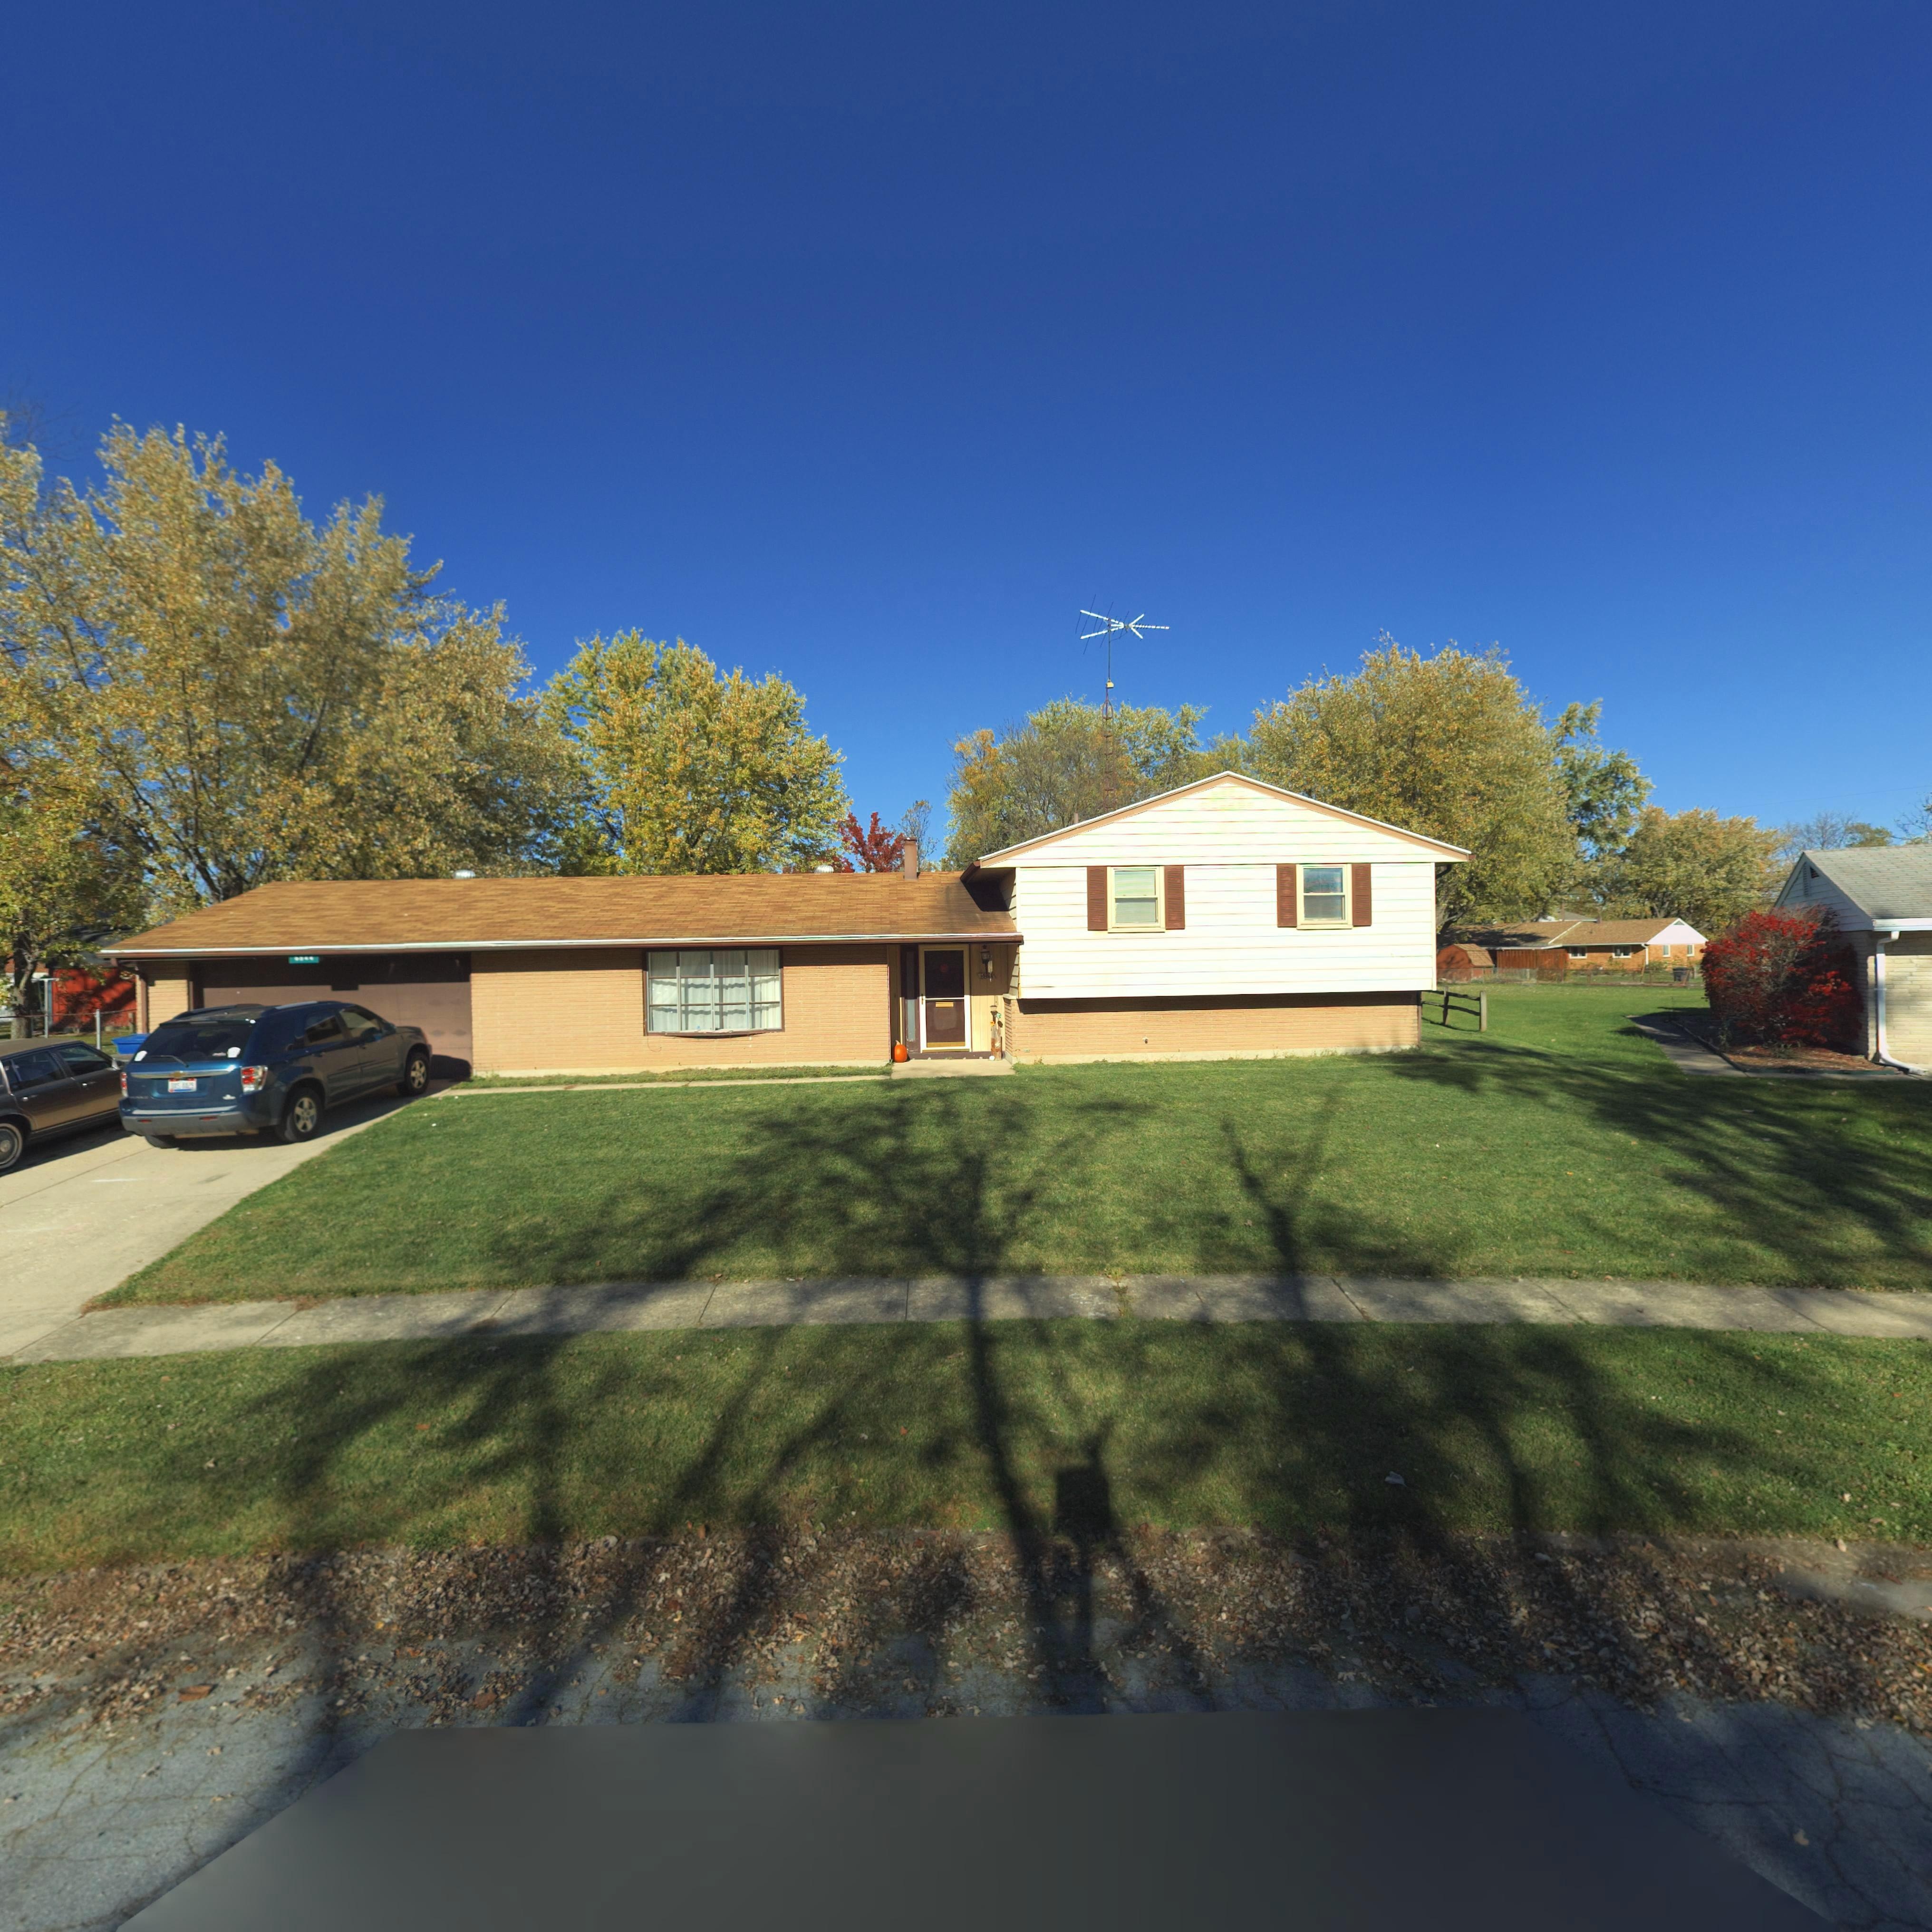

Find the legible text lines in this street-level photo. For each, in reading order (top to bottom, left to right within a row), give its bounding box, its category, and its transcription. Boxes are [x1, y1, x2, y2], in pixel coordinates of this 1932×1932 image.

[294, 956, 314, 961] StreetNumber: **44
[980, 973, 993, 979] StreetNumber: 684*